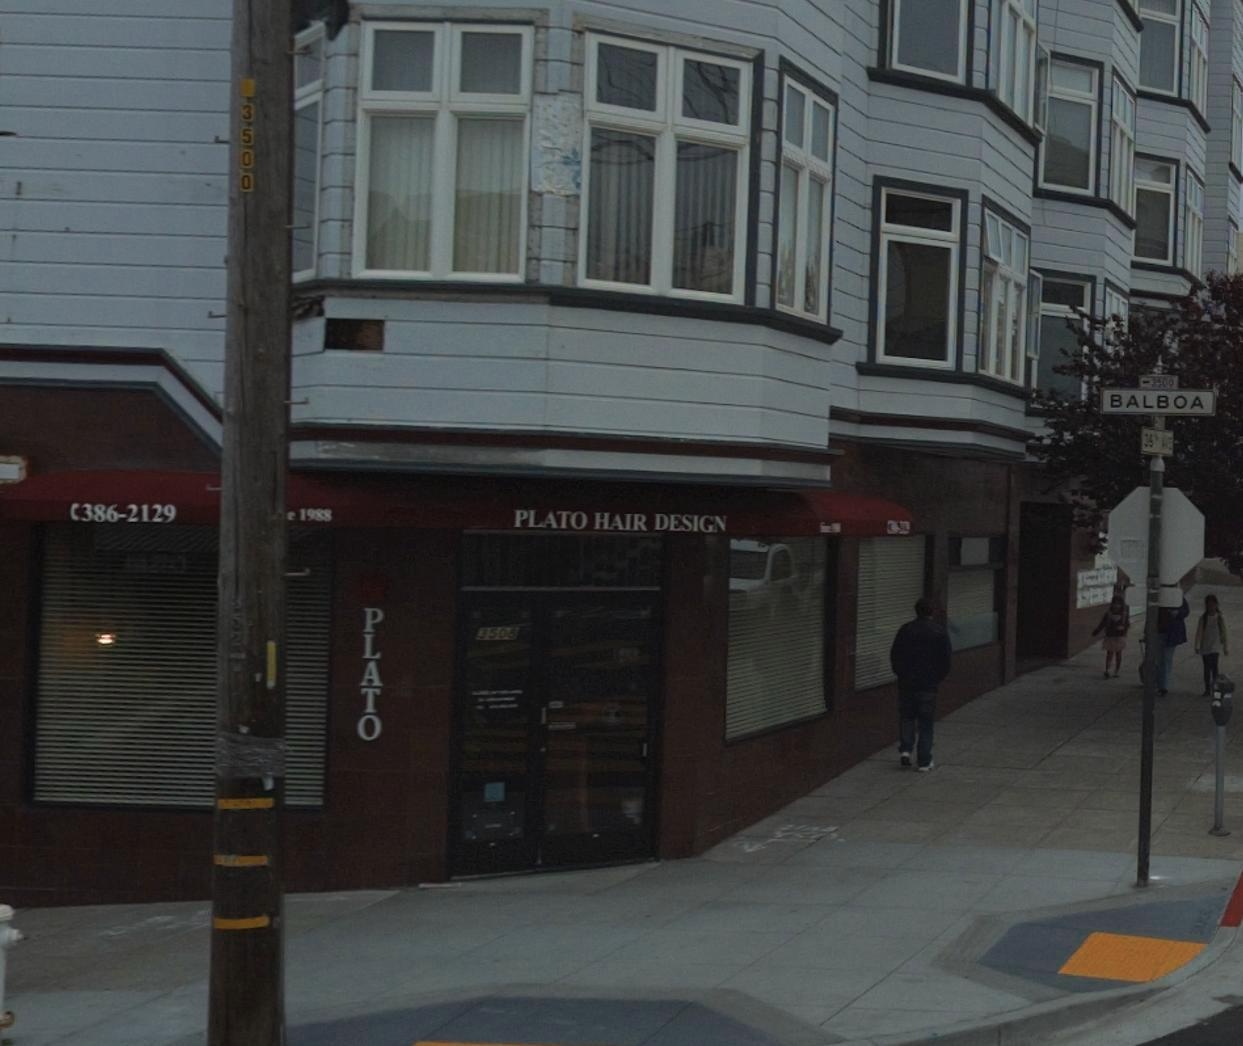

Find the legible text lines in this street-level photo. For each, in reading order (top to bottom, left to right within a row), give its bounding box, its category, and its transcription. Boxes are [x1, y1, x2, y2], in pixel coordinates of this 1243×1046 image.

[239, 101, 255, 191] StreetNumber: 3500
[1149, 376, 1176, 390] StreetNumber: 3500
[1109, 392, 1207, 411] StreetName: BALBOA
[1143, 432, 1155, 449] StreetNumber: 35
[79, 501, 179, 524] None: 386-2129
[286, 509, 296, 522] None: e
[297, 506, 335, 524] None: 1988
[511, 508, 728, 534] BusinessName: PLATO HAIR DESIGN
[476, 627, 519, 640] StreetNumber: 3508
[353, 605, 387, 744] BusinessName: PLATO